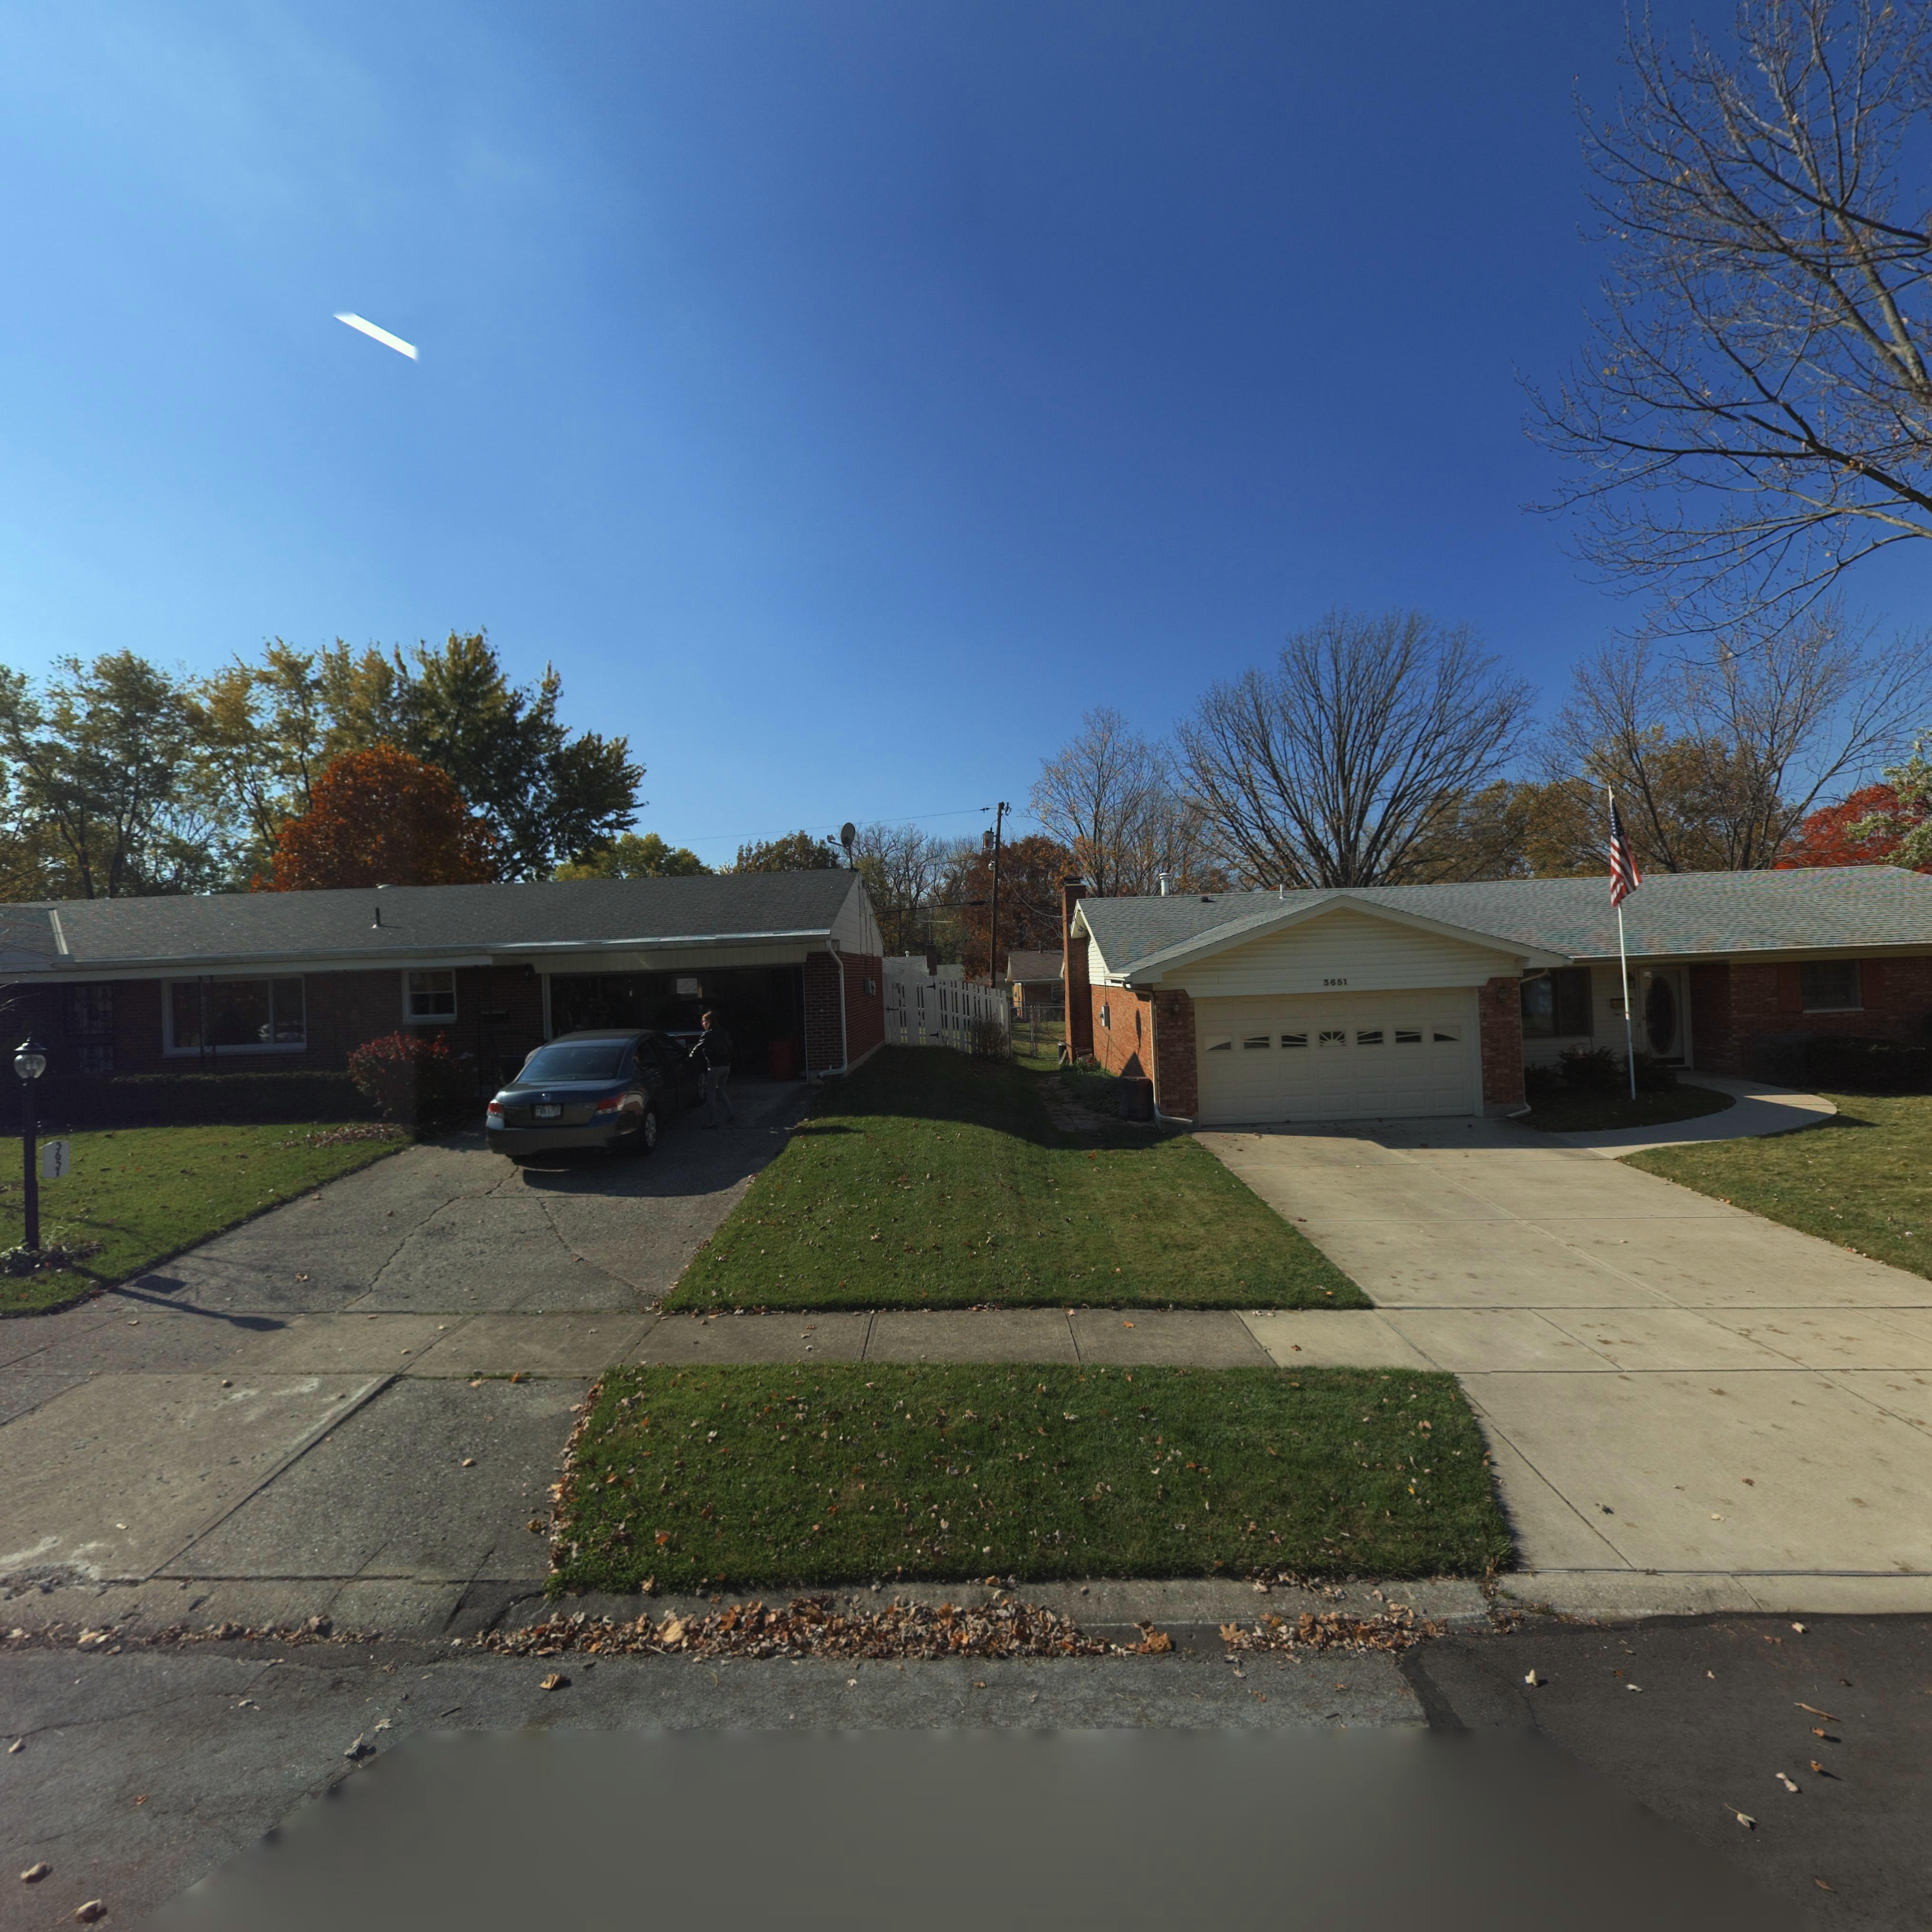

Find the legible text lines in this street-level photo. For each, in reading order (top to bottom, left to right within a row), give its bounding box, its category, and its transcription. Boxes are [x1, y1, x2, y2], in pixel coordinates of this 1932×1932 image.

[1323, 977, 1348, 987] StreetNumber: 3651
[536, 1106, 560, 1115] None: F** 1759
[54, 1140, 62, 1178] StreetNumber: 3657